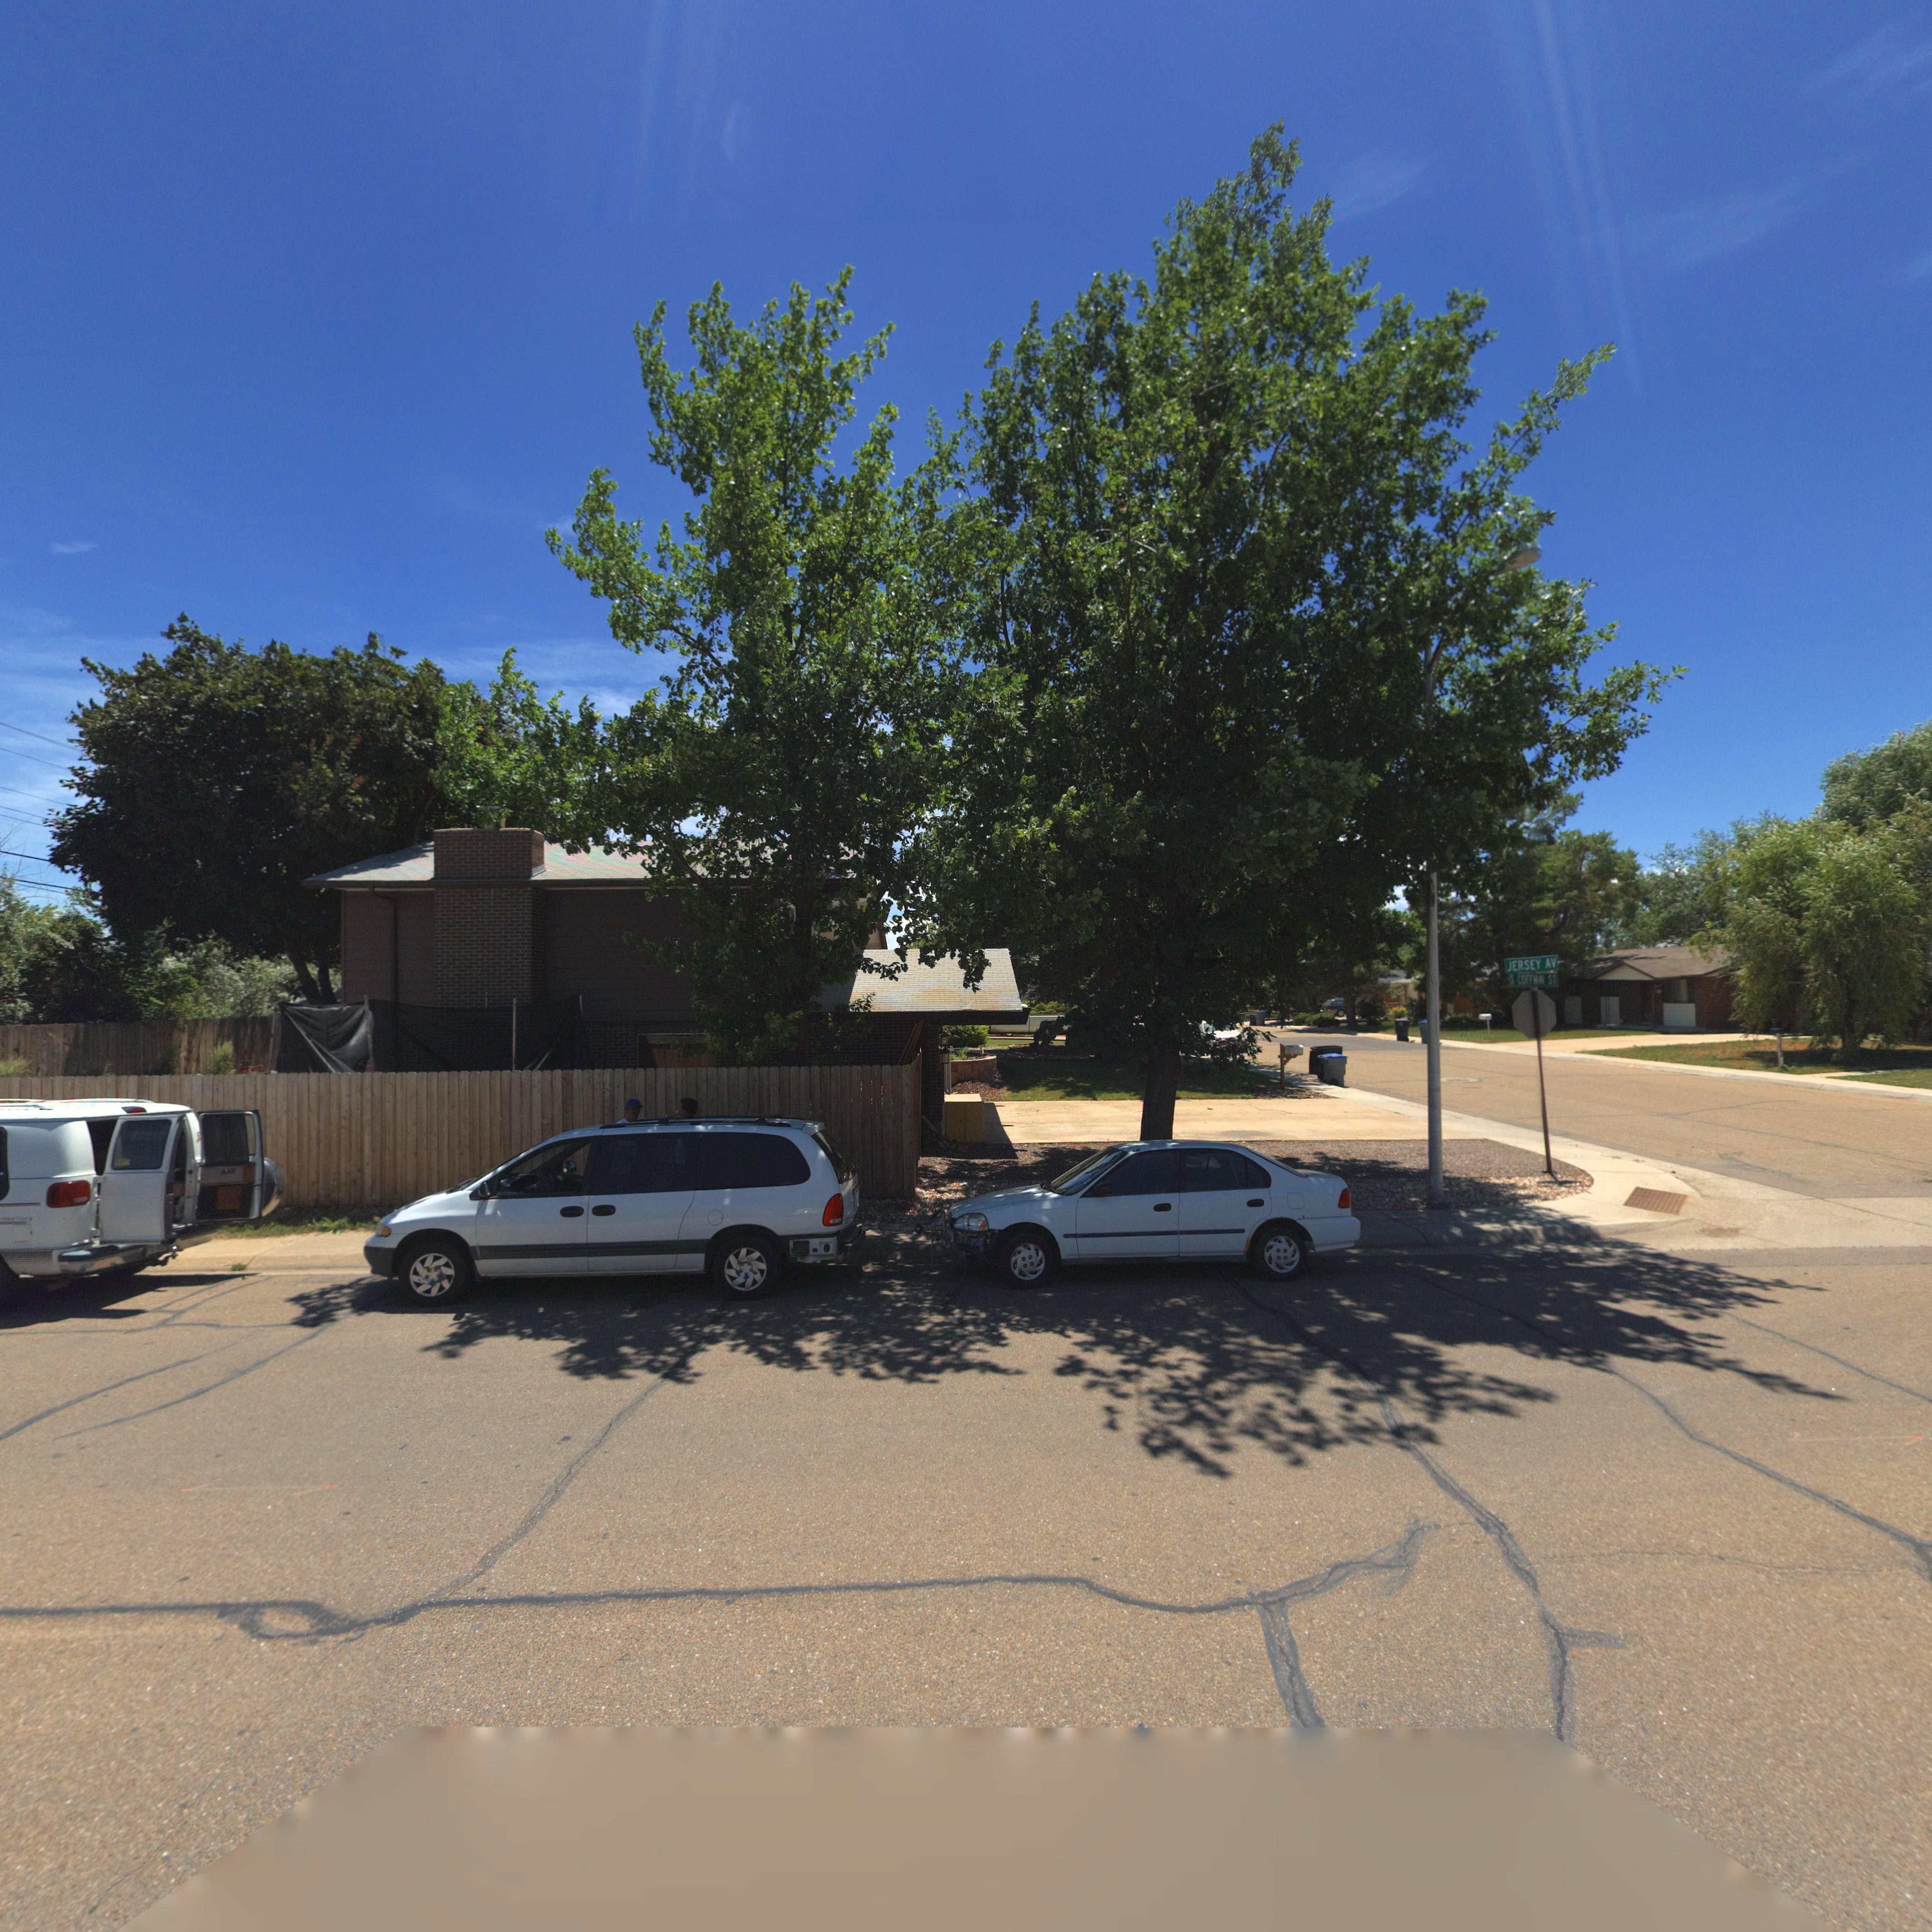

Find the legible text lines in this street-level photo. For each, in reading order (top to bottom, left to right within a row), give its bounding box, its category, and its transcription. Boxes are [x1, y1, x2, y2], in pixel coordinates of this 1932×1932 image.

[1506, 956, 1557, 972] StreetName: JERSEY AV
[1508, 973, 1556, 985] StreetName: S COFFMAN ST